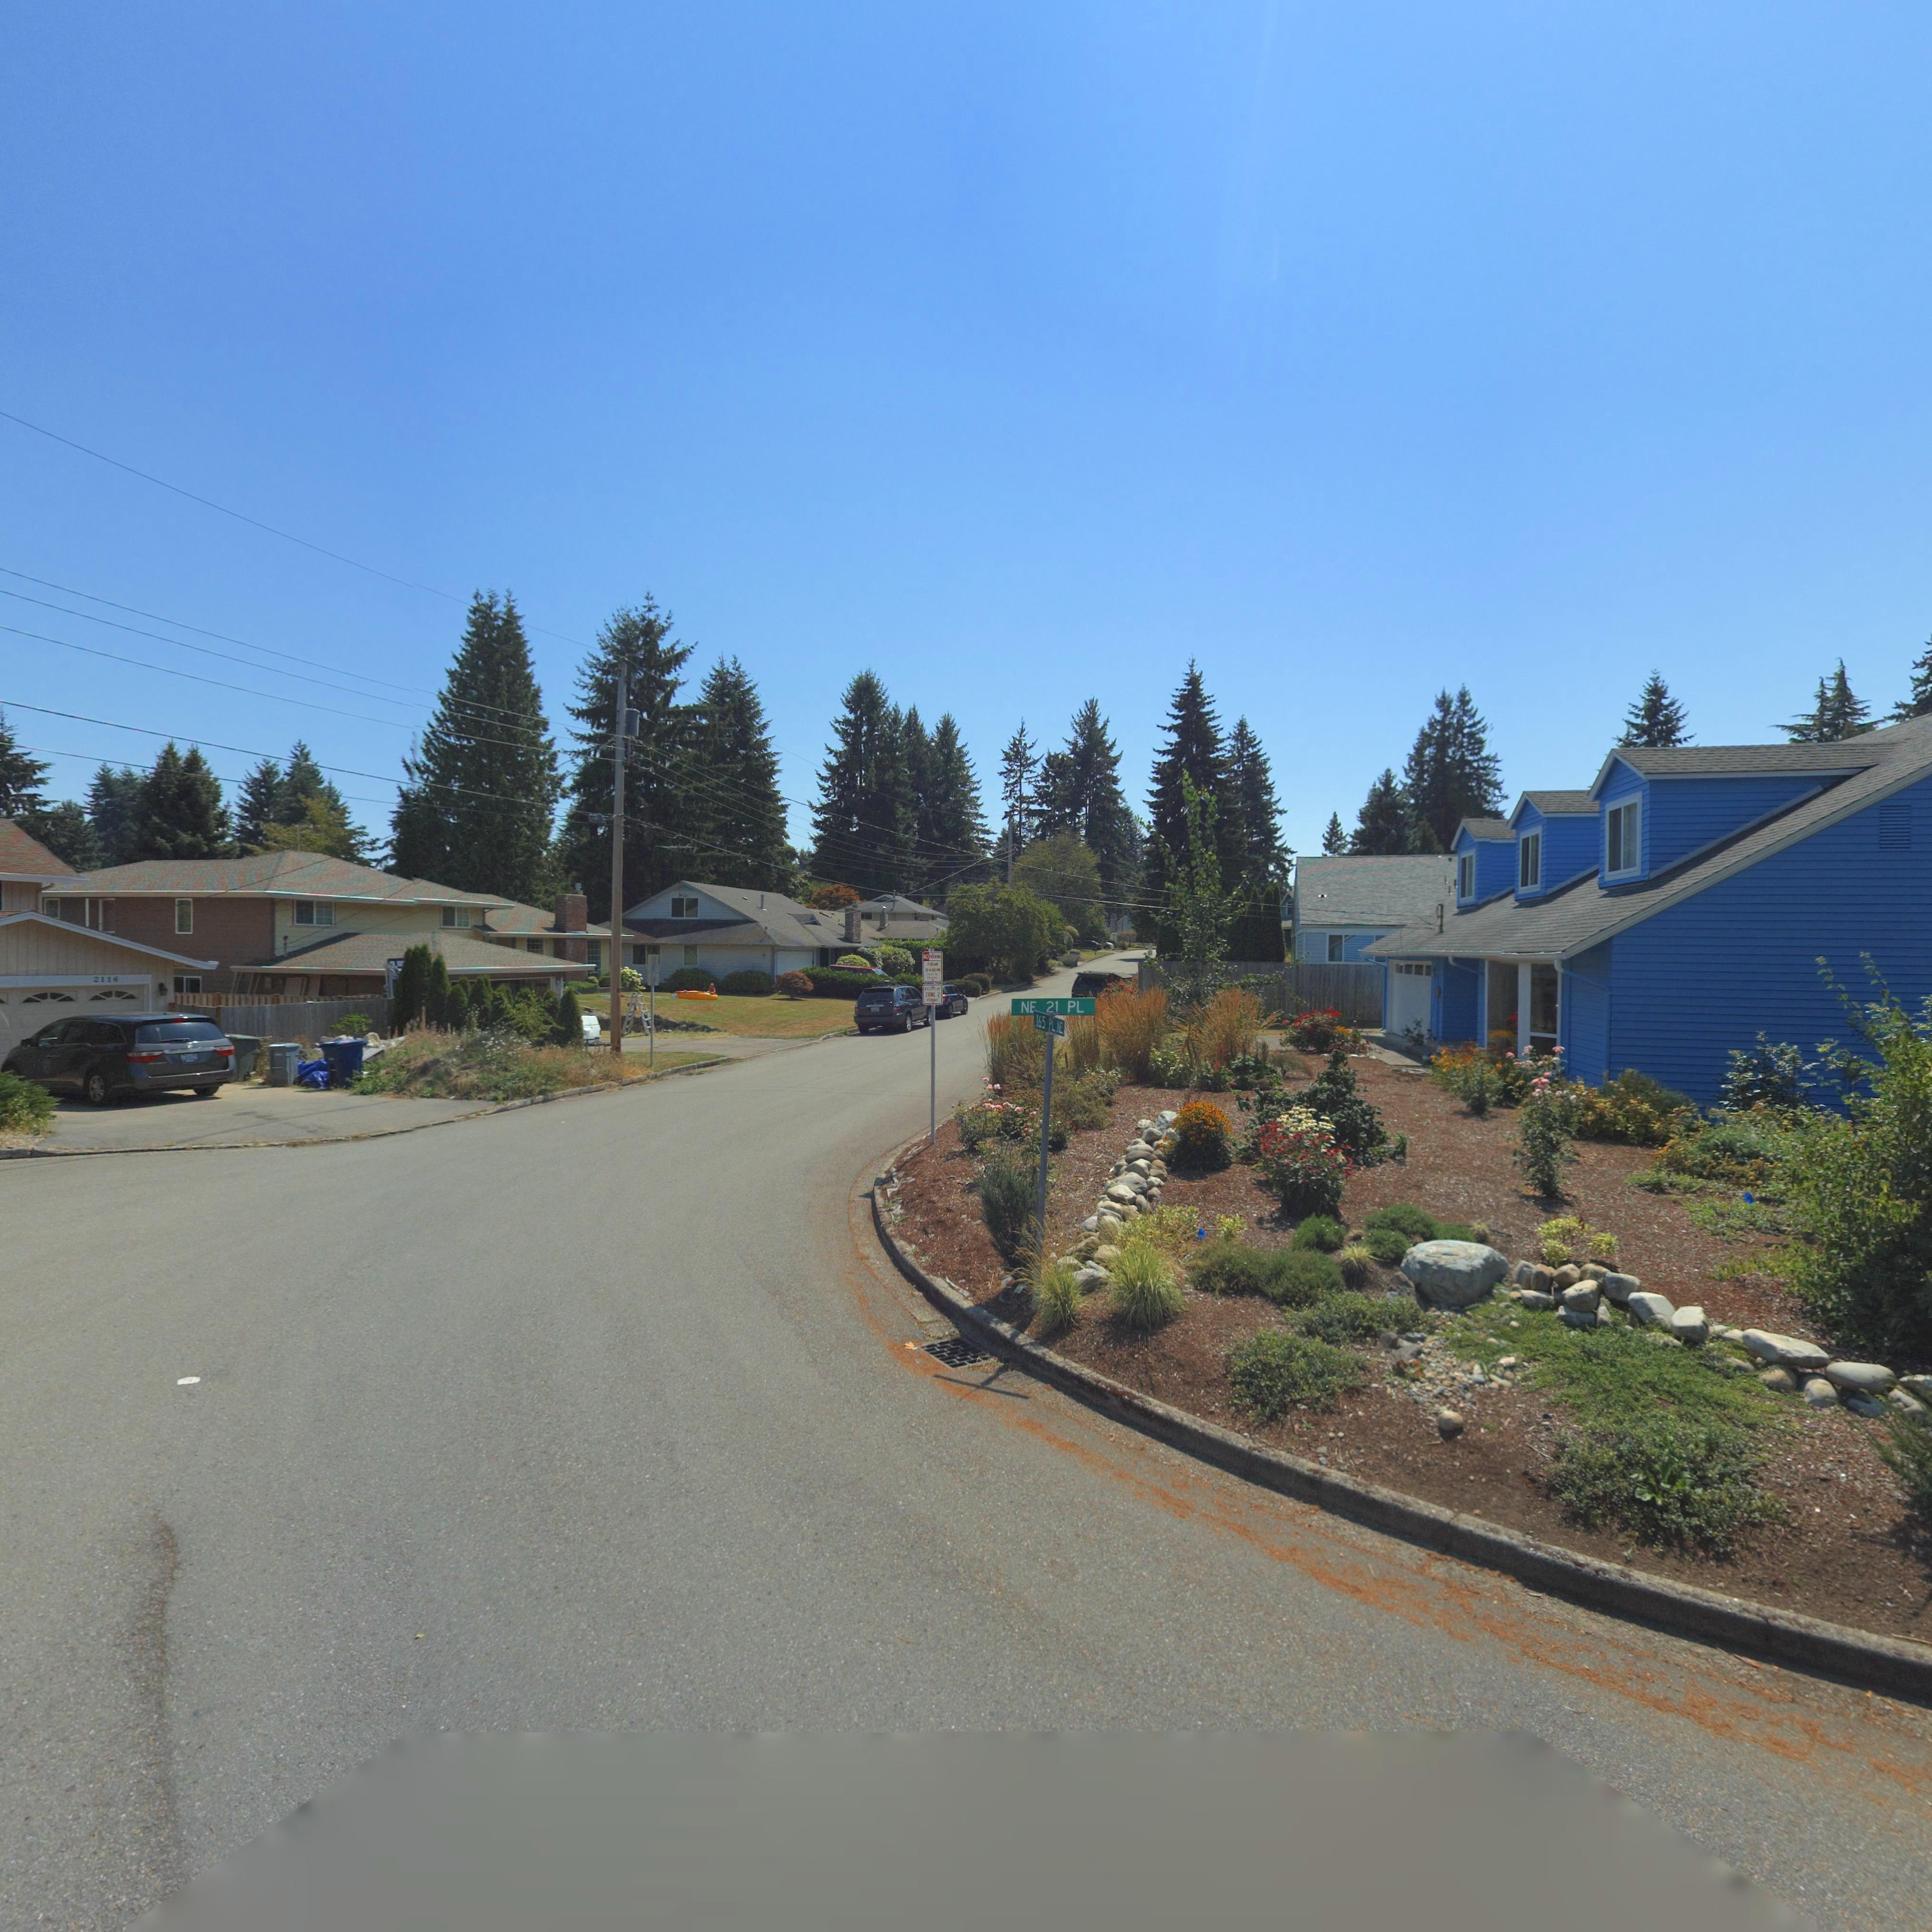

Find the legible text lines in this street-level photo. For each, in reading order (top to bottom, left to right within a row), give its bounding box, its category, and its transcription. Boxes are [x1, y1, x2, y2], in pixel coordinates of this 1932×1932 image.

[1020, 999, 1085, 1013] StreetName: NE 21 PL
[1036, 1014, 1063, 1035] StreetName: 165 PL NE